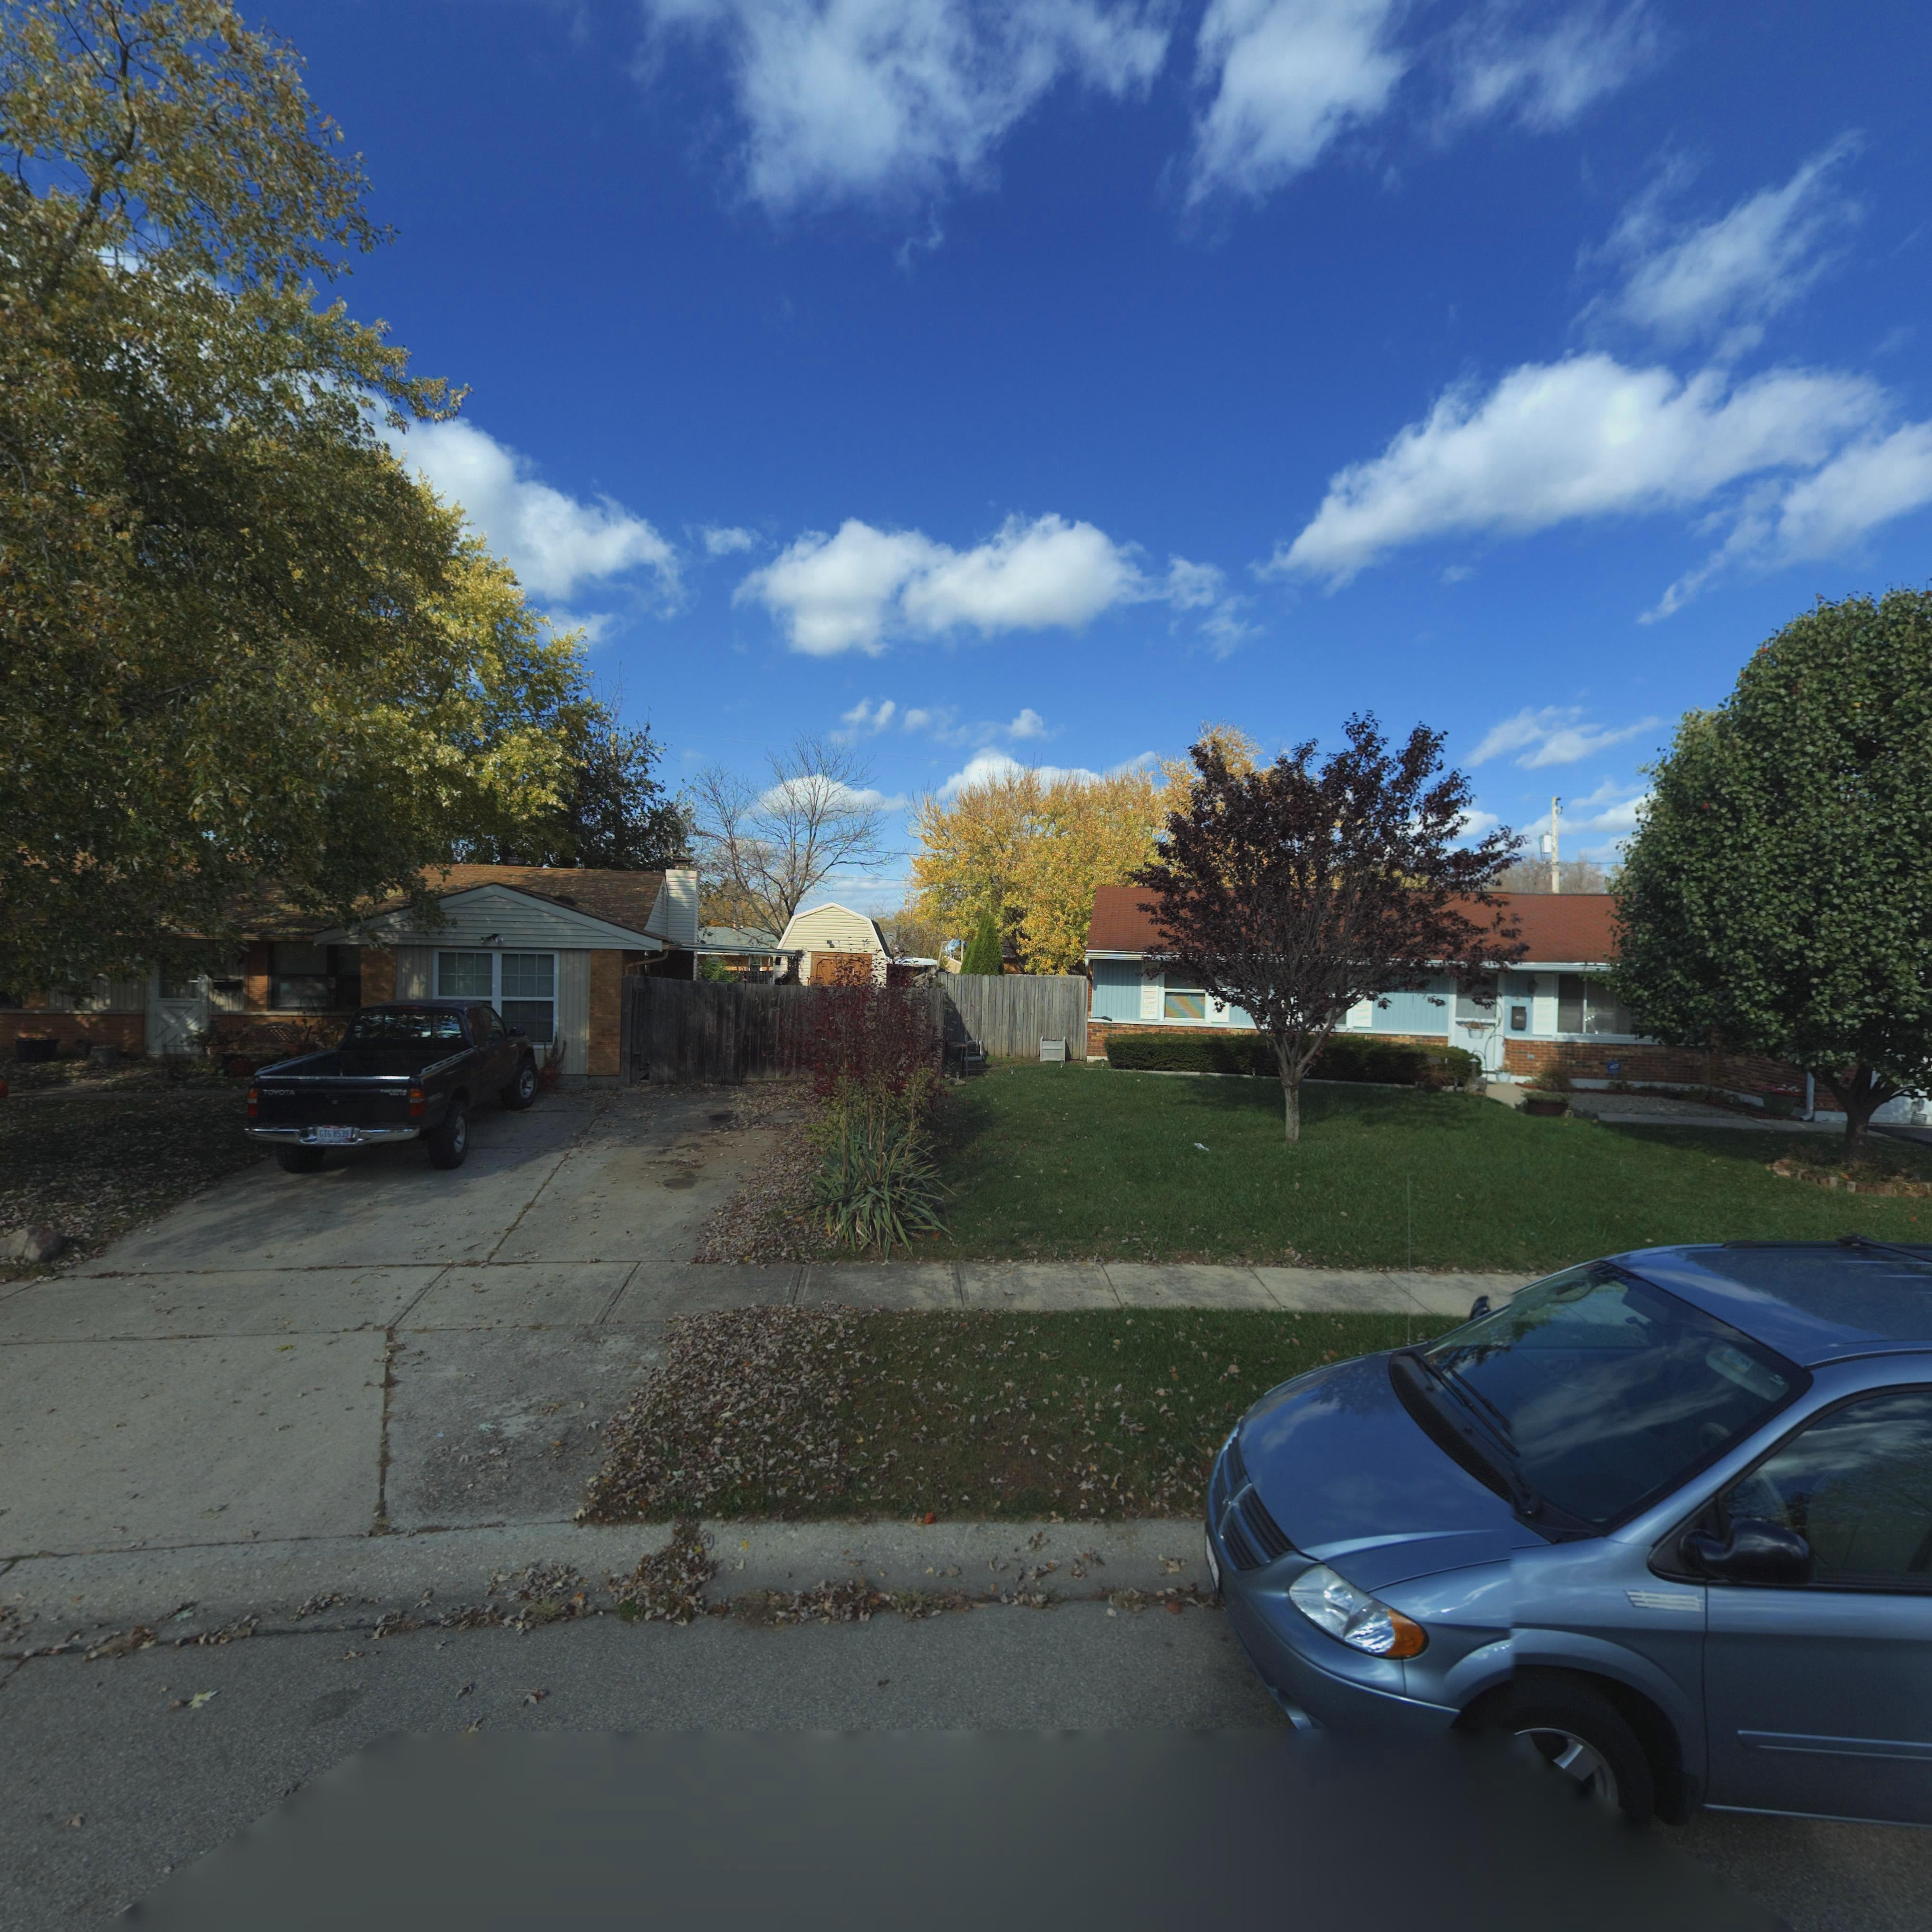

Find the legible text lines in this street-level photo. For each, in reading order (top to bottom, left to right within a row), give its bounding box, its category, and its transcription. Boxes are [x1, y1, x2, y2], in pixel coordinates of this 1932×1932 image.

[1420, 991, 1430, 1000] StreetNumber: 7